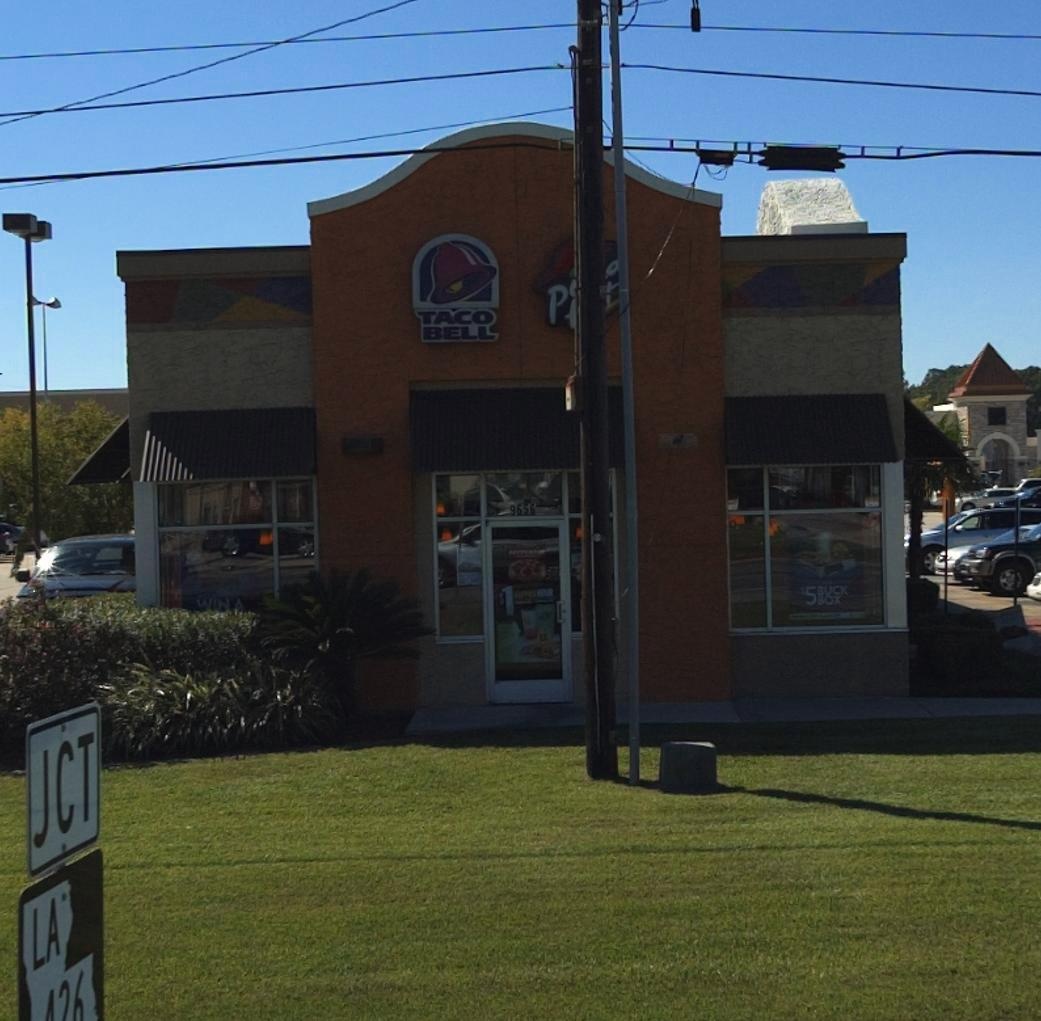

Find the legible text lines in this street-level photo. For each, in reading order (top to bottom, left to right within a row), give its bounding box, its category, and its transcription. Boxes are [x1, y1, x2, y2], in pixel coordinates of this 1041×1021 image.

[543, 280, 572, 329] BusinessName: p
[415, 309, 495, 326] BusinessName: TACO
[421, 323, 501, 342] BusinessName: BELL
[507, 501, 538, 518] StreetNumber: 9656
[804, 585, 818, 607] None: 5
[816, 594, 844, 607] None: BOX
[815, 584, 851, 597] None: BUCK
[26, 726, 101, 857] None: JCT
[27, 890, 65, 978] None: LA